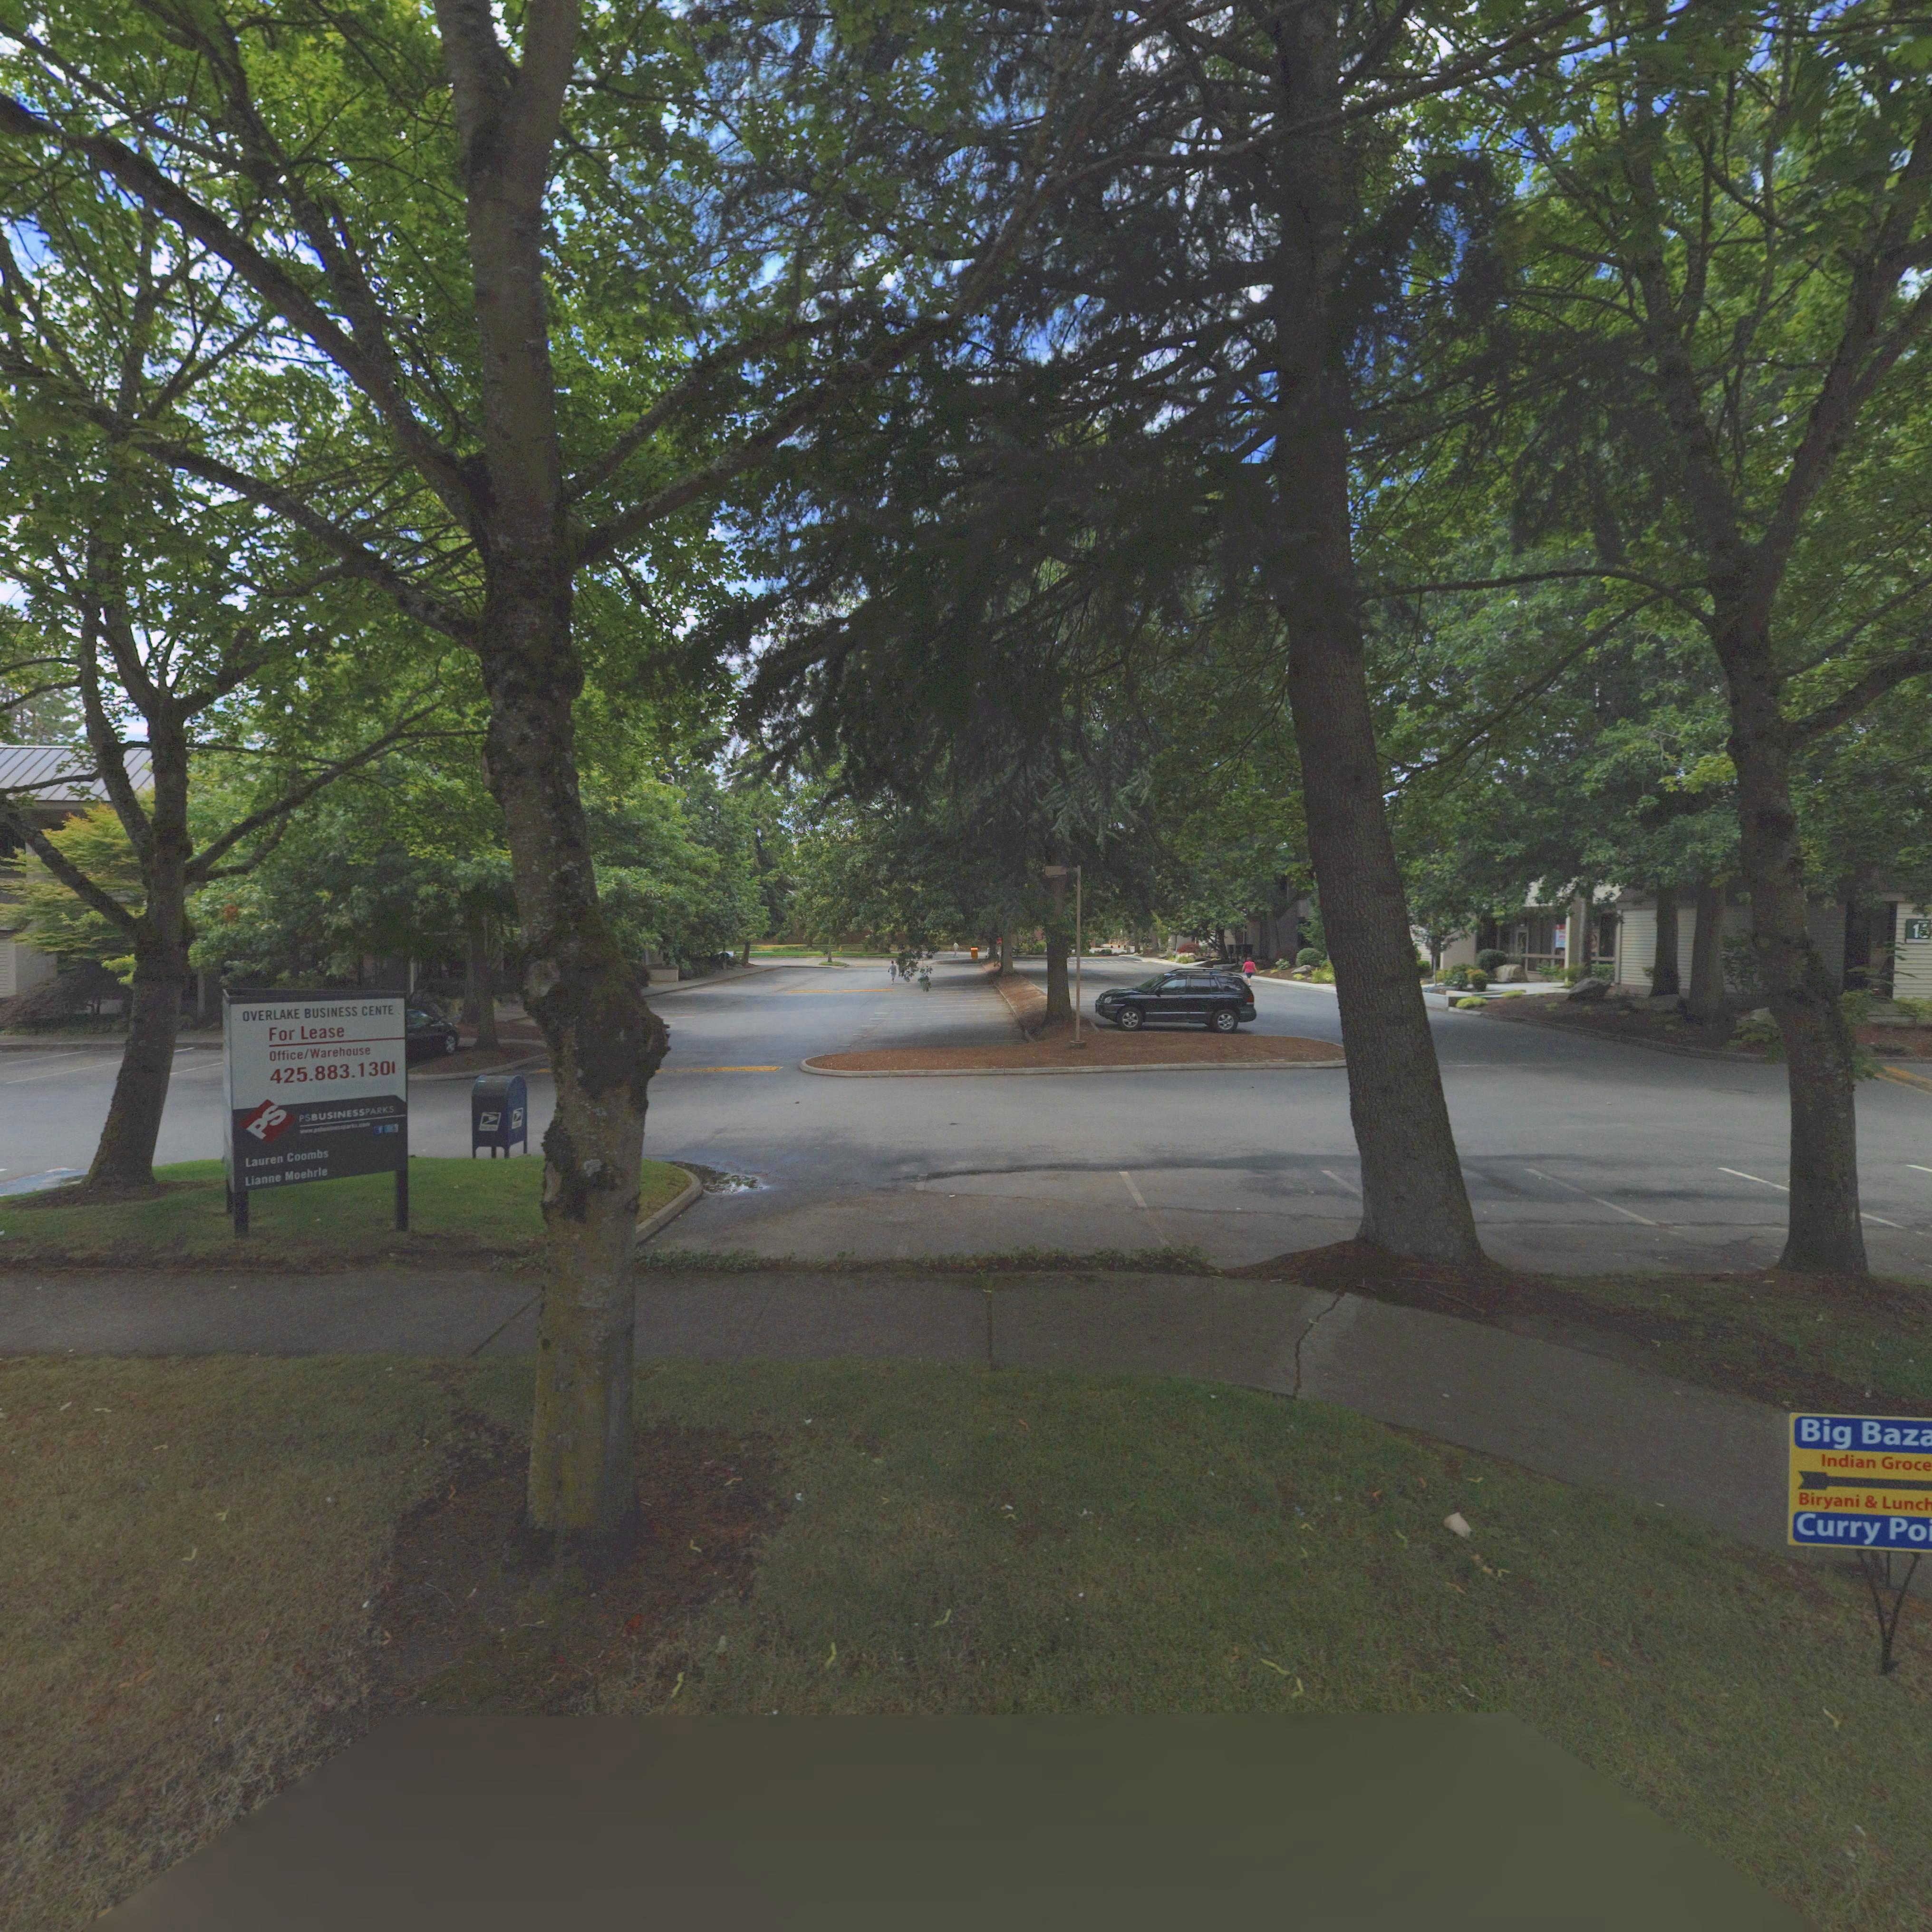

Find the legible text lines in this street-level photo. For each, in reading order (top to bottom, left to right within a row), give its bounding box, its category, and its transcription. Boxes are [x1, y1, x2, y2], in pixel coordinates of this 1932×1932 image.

[1913, 923, 1929, 938] StreetNumber: 1*
[1799, 1417, 1932, 1450] BusinessName: Big Baz*
[1820, 1452, 1932, 1471] BusinessName: Indian Groce
[1797, 1491, 1932, 1513] None: Biryani * Lunch
[1796, 1512, 1932, 1547] BusinessName: Curry  Po*